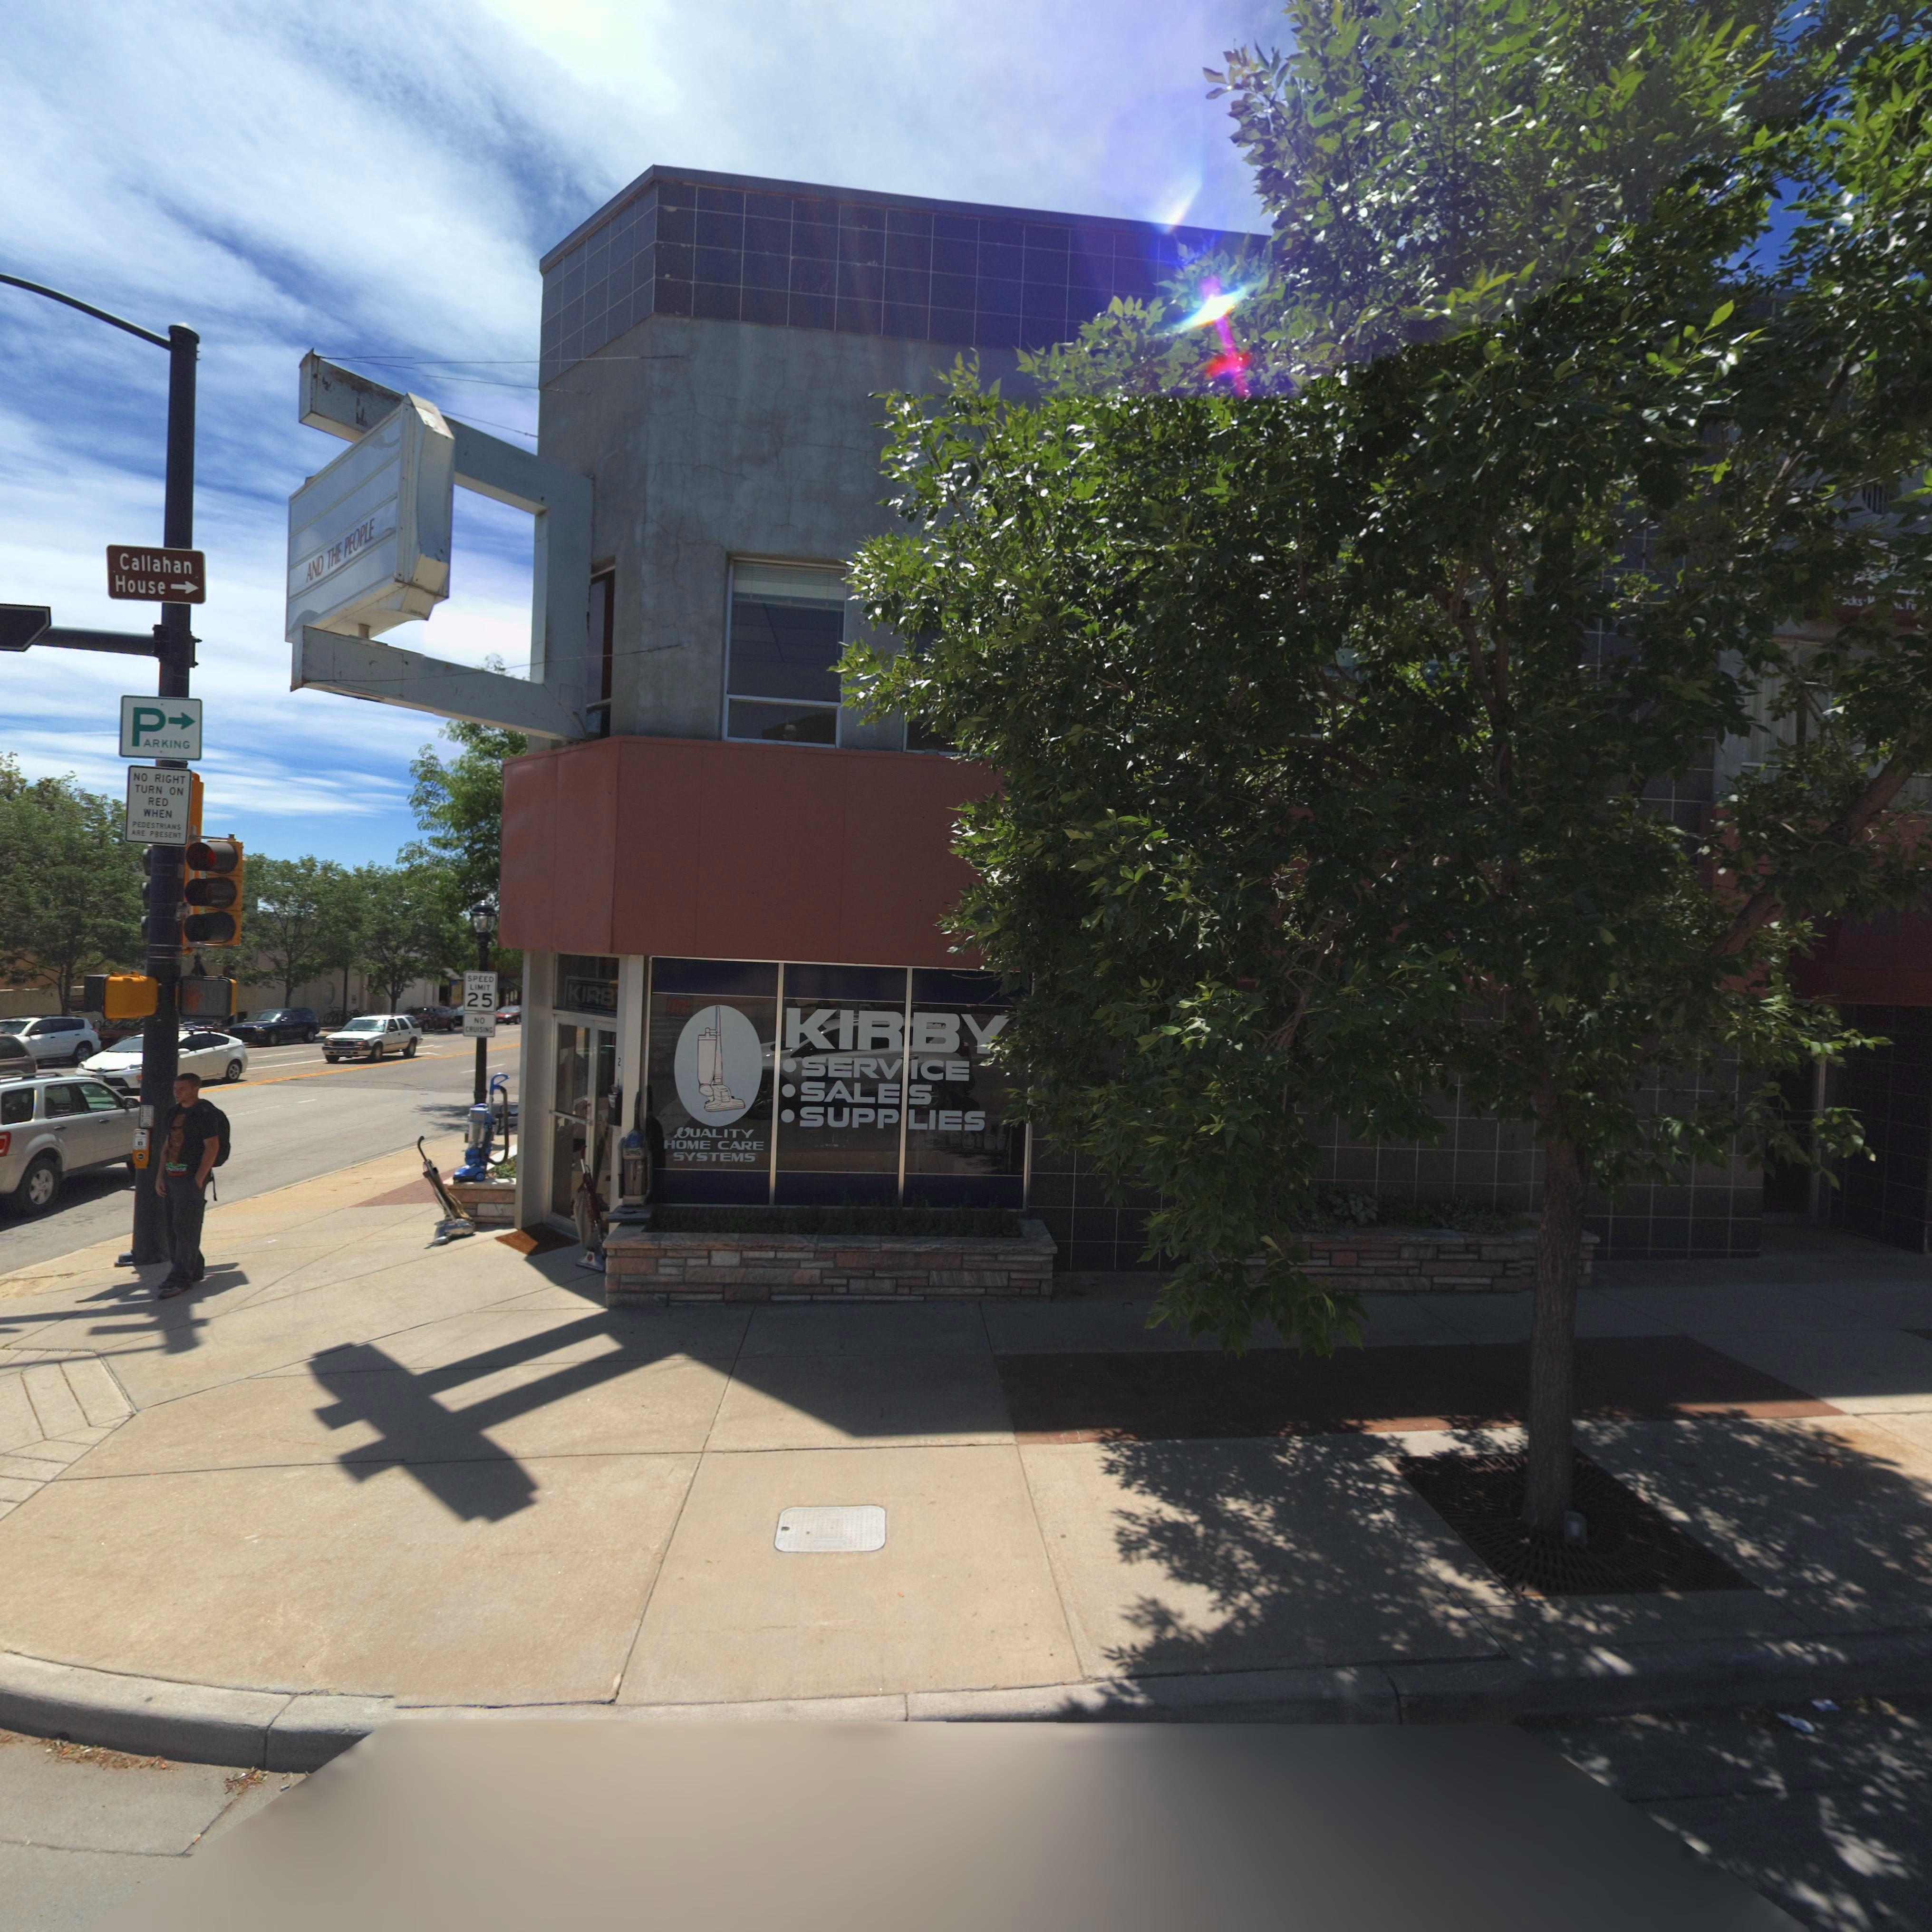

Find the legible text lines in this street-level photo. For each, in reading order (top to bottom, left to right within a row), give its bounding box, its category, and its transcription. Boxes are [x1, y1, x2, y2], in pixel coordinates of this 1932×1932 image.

[566, 982, 615, 1007] BusinessName: KIRB
[783, 1006, 1015, 1055] BusinessName: KIRBY
[674, 1152, 755, 1161] BusinessName: SYSTEMS